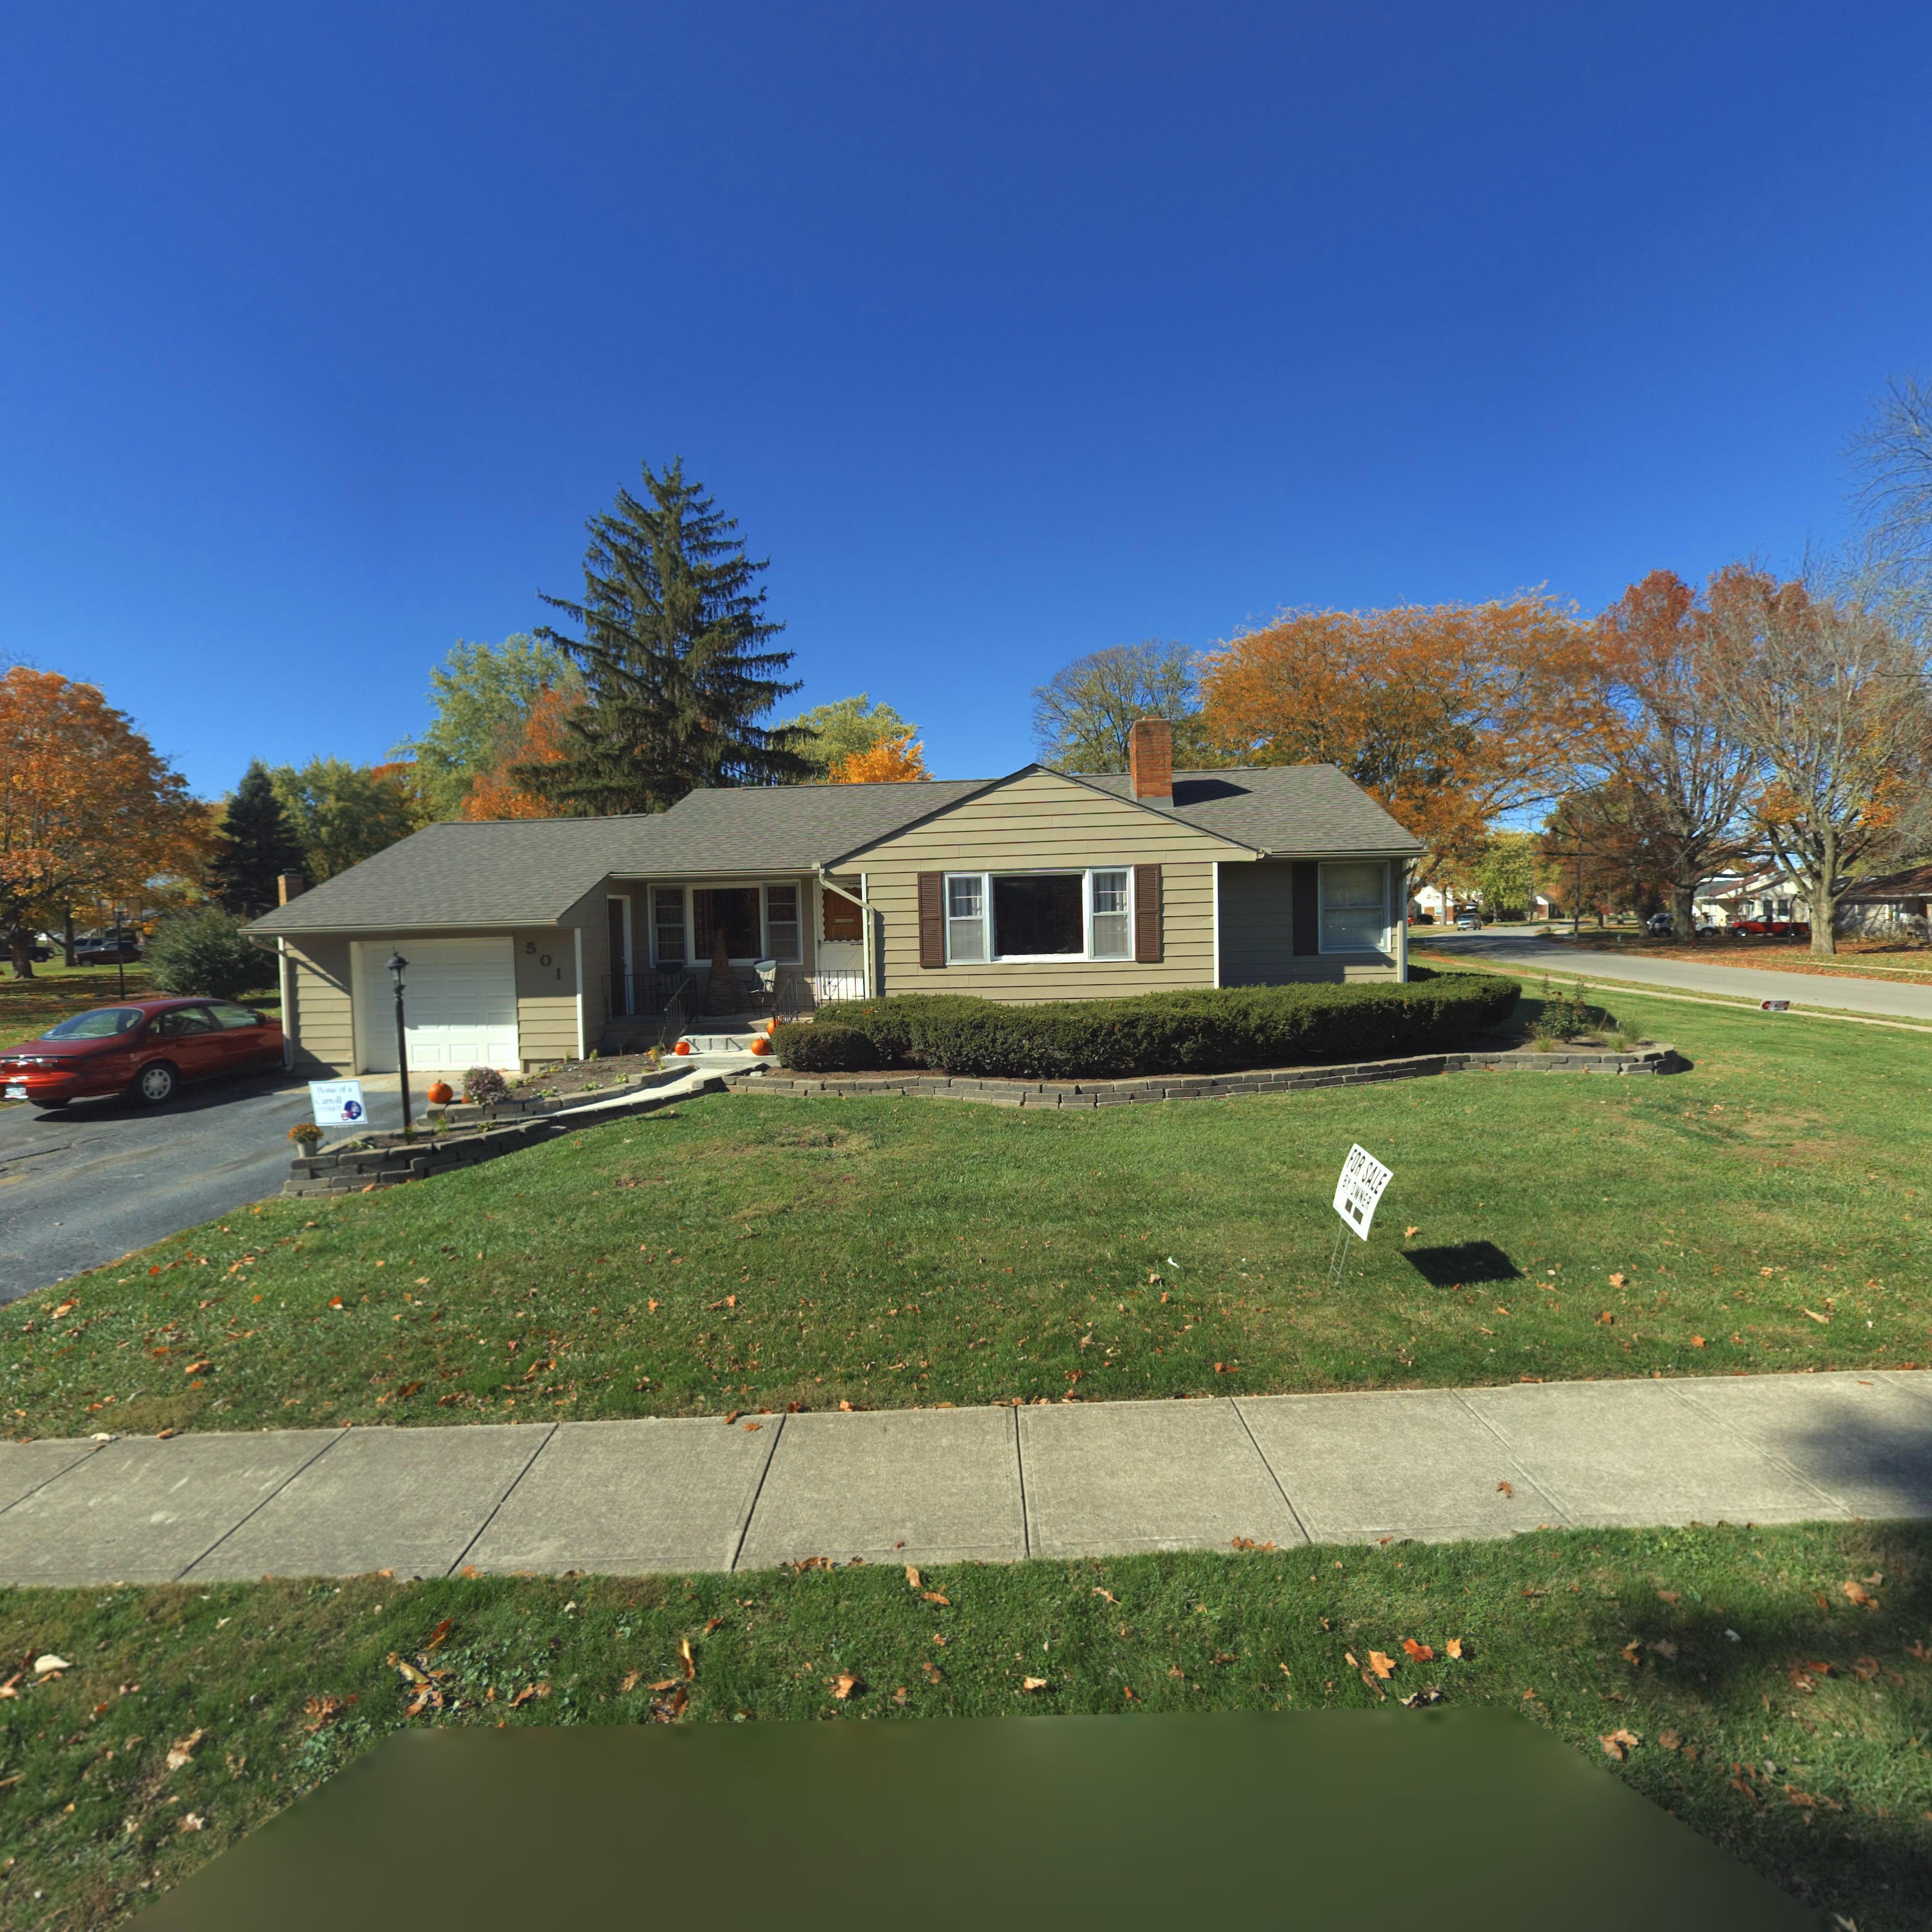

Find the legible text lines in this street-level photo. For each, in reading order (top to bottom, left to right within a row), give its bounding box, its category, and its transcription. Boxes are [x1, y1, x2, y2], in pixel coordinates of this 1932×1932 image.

[525, 941, 561, 981] StreetNumber: 501